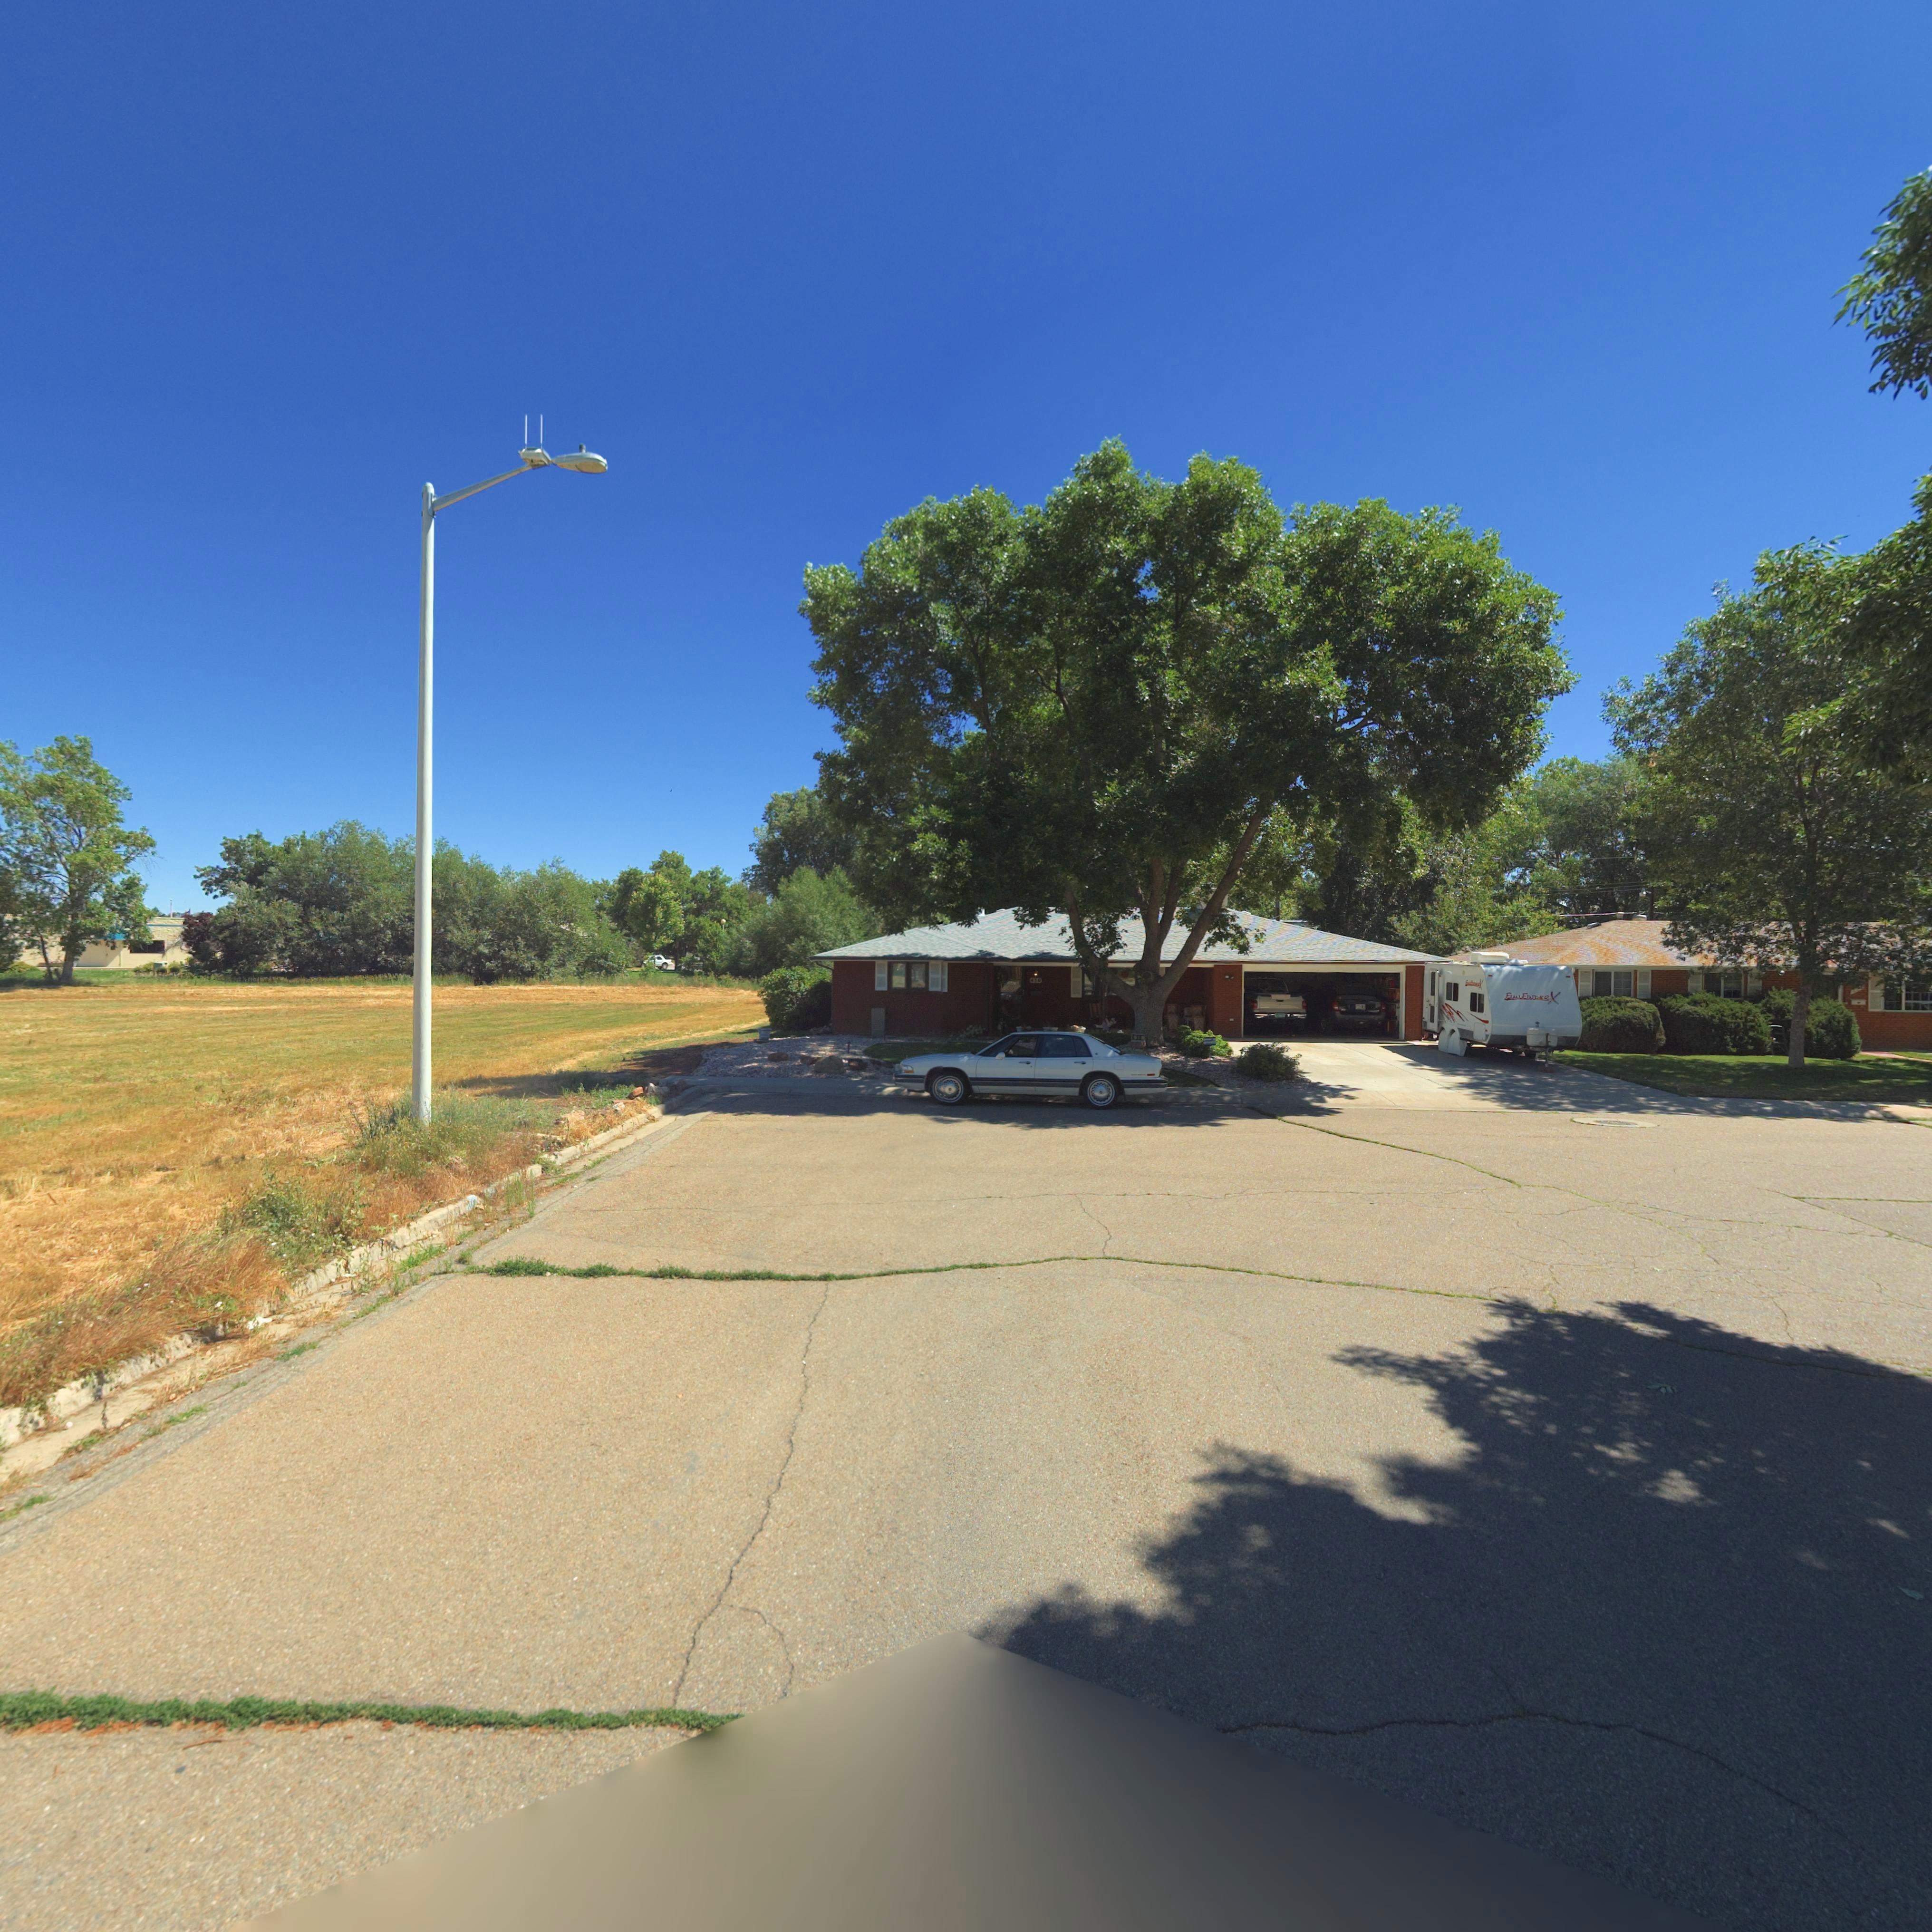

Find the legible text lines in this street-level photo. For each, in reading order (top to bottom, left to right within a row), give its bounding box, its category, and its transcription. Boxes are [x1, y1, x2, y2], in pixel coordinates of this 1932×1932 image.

[1030, 978, 1041, 983] StreetNumber: 430